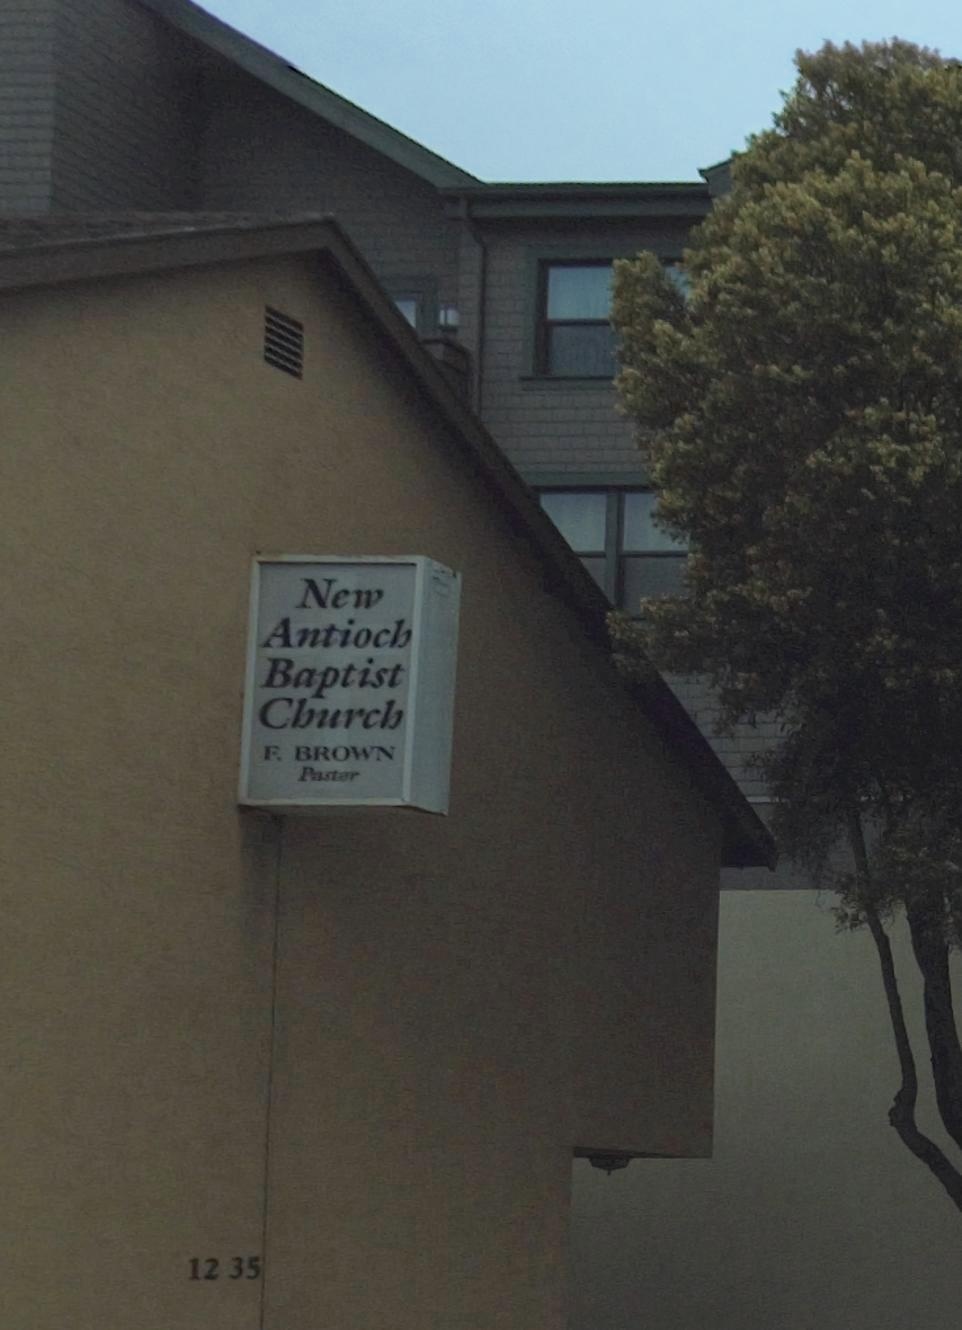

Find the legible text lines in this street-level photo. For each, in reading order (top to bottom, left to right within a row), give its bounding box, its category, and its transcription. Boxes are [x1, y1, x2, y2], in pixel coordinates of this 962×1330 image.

[295, 577, 385, 610] BusinessName: New
[257, 615, 414, 652] BusinessName: Antioch
[258, 657, 406, 700] BusinessName: Baptist
[257, 696, 405, 732] BusinessName: Church
[262, 743, 397, 763] None: F. BROWN
[298, 765, 361, 784] None: Pastor
[186, 1254, 262, 1281] StreetNumber: 1235